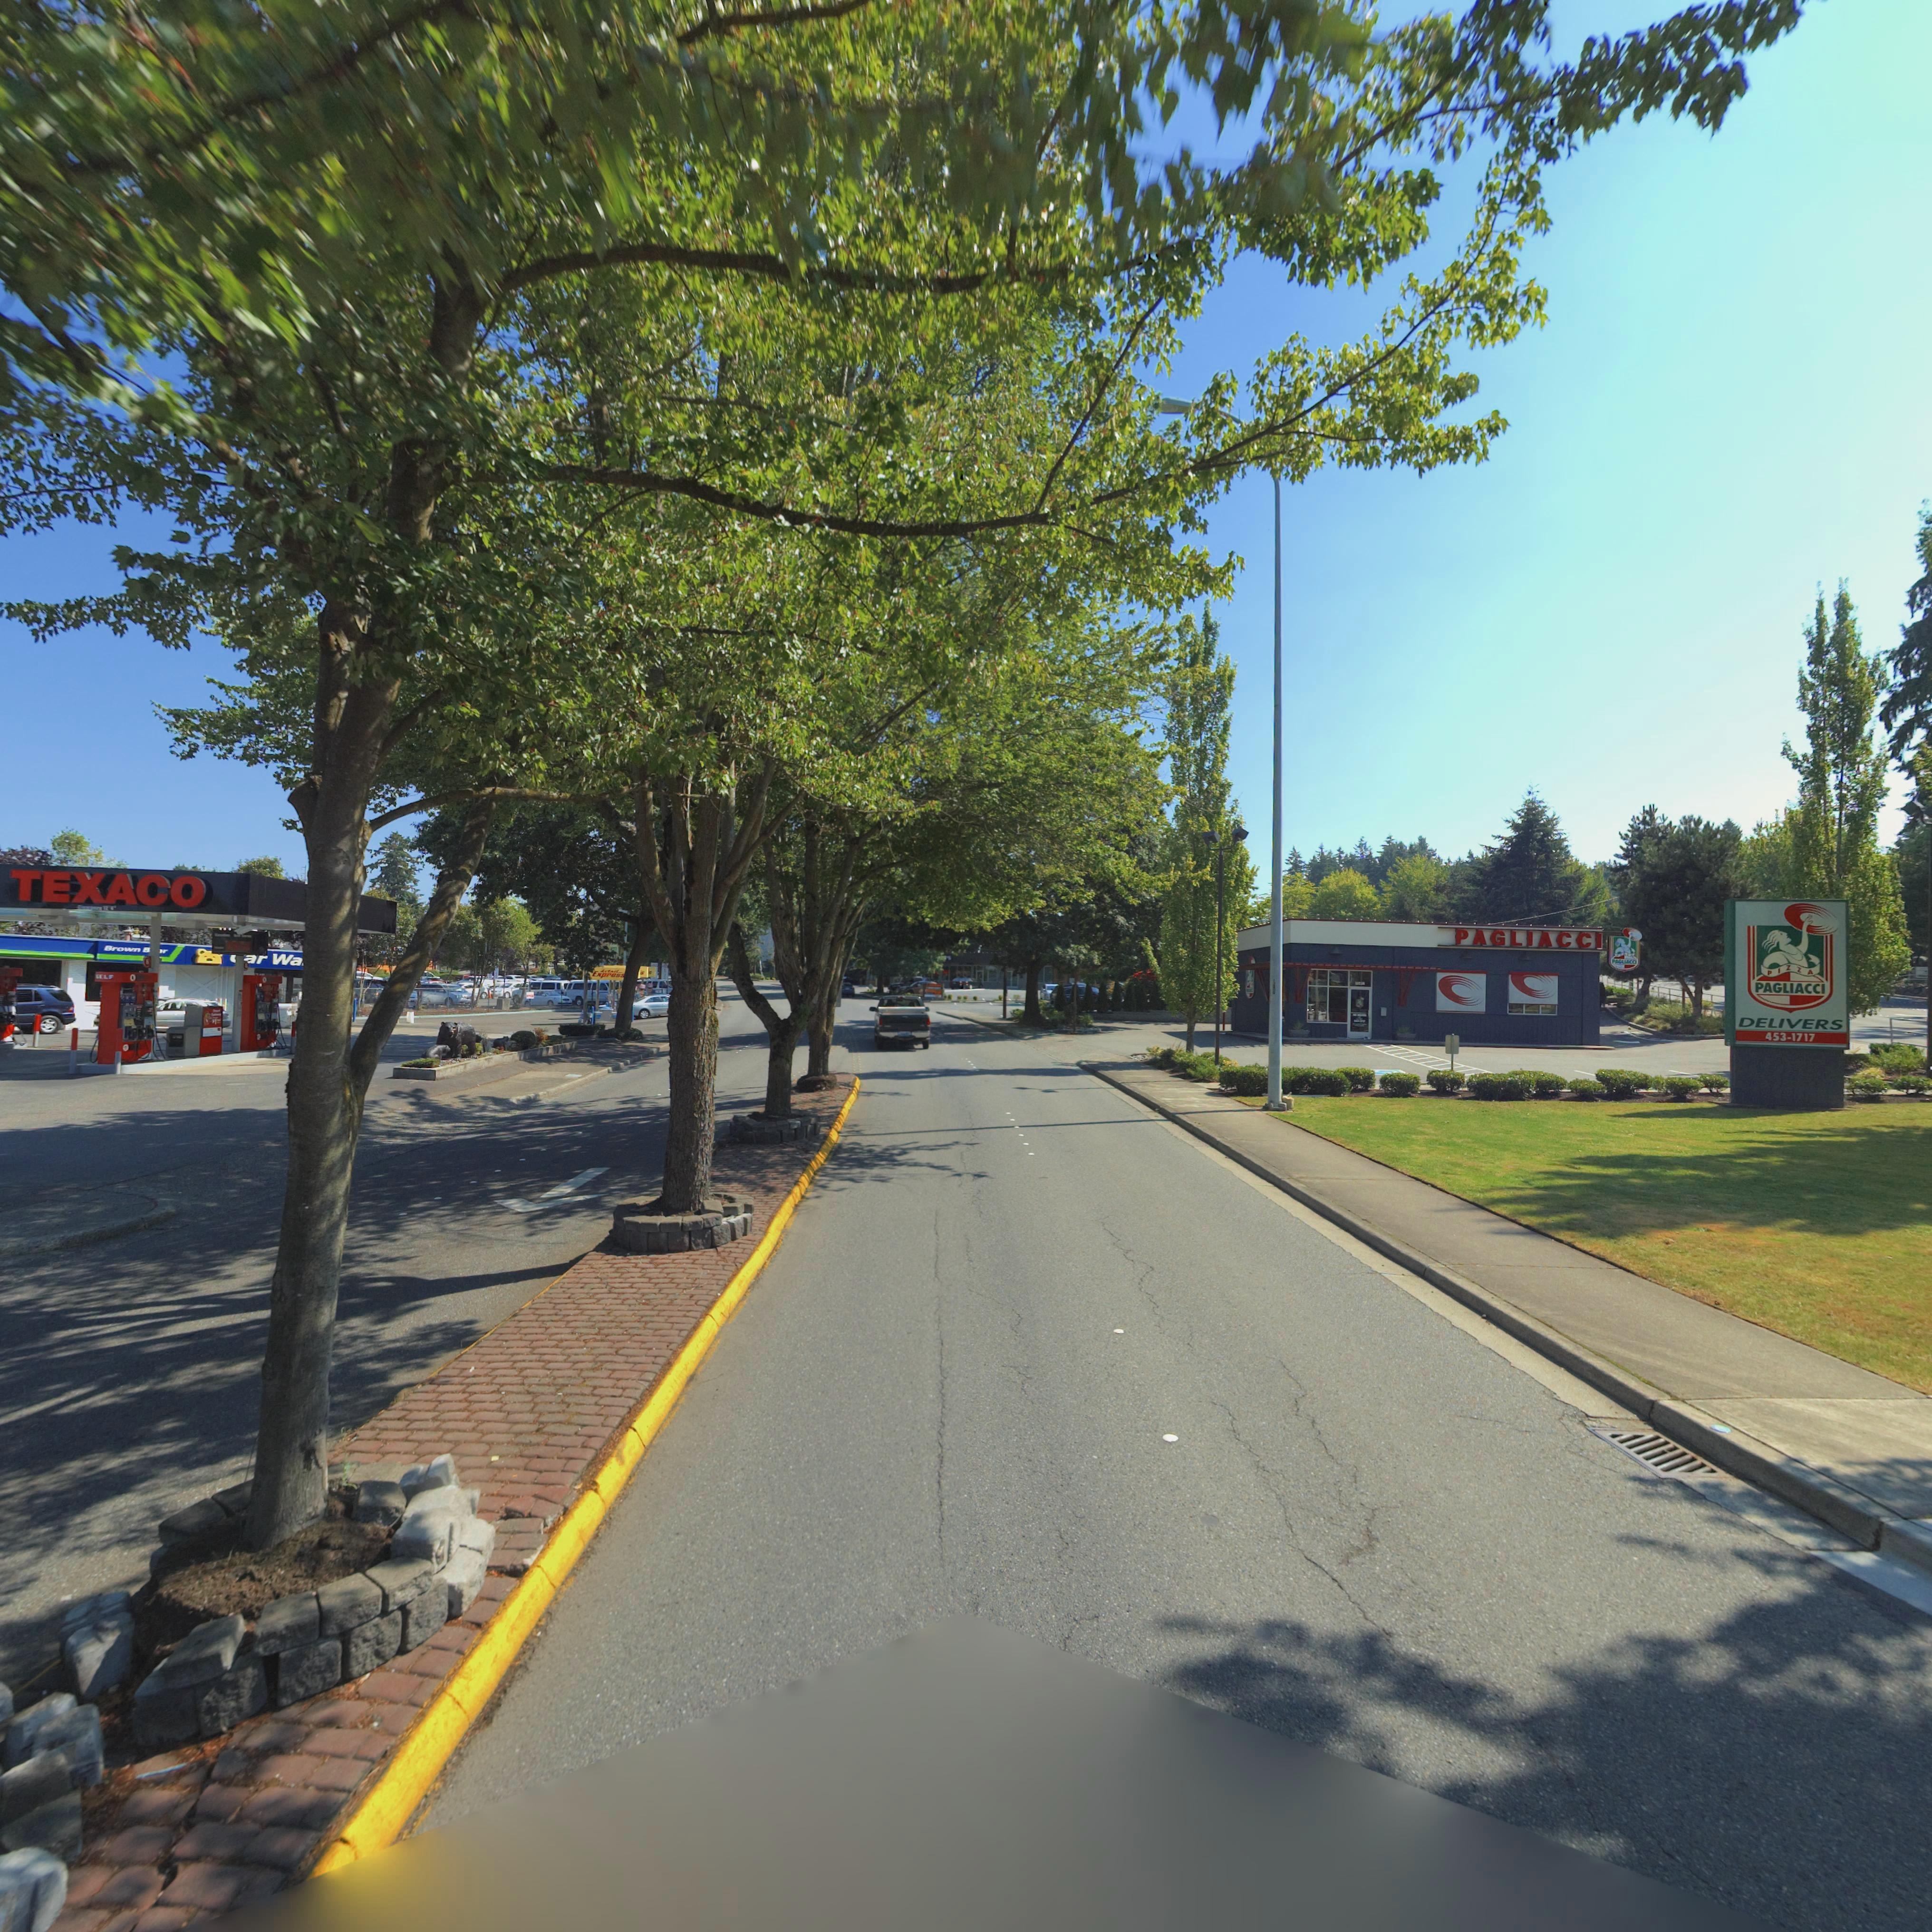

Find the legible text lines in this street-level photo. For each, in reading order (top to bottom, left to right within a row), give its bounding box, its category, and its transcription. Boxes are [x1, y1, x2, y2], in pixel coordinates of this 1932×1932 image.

[10, 869, 208, 908] BusinessName: TEXACO
[1456, 929, 1602, 949] BusinessName: PAGLIACCI
[103, 946, 141, 952] BusinessName: Brown
[257, 955, 268, 964] BusinessName: r
[273, 953, 302, 966] BusinessName: Wa
[1767, 964, 1814, 976] BusinessName: PIZZA
[1756, 982, 1826, 994] BusinessName: PAGLIACCI